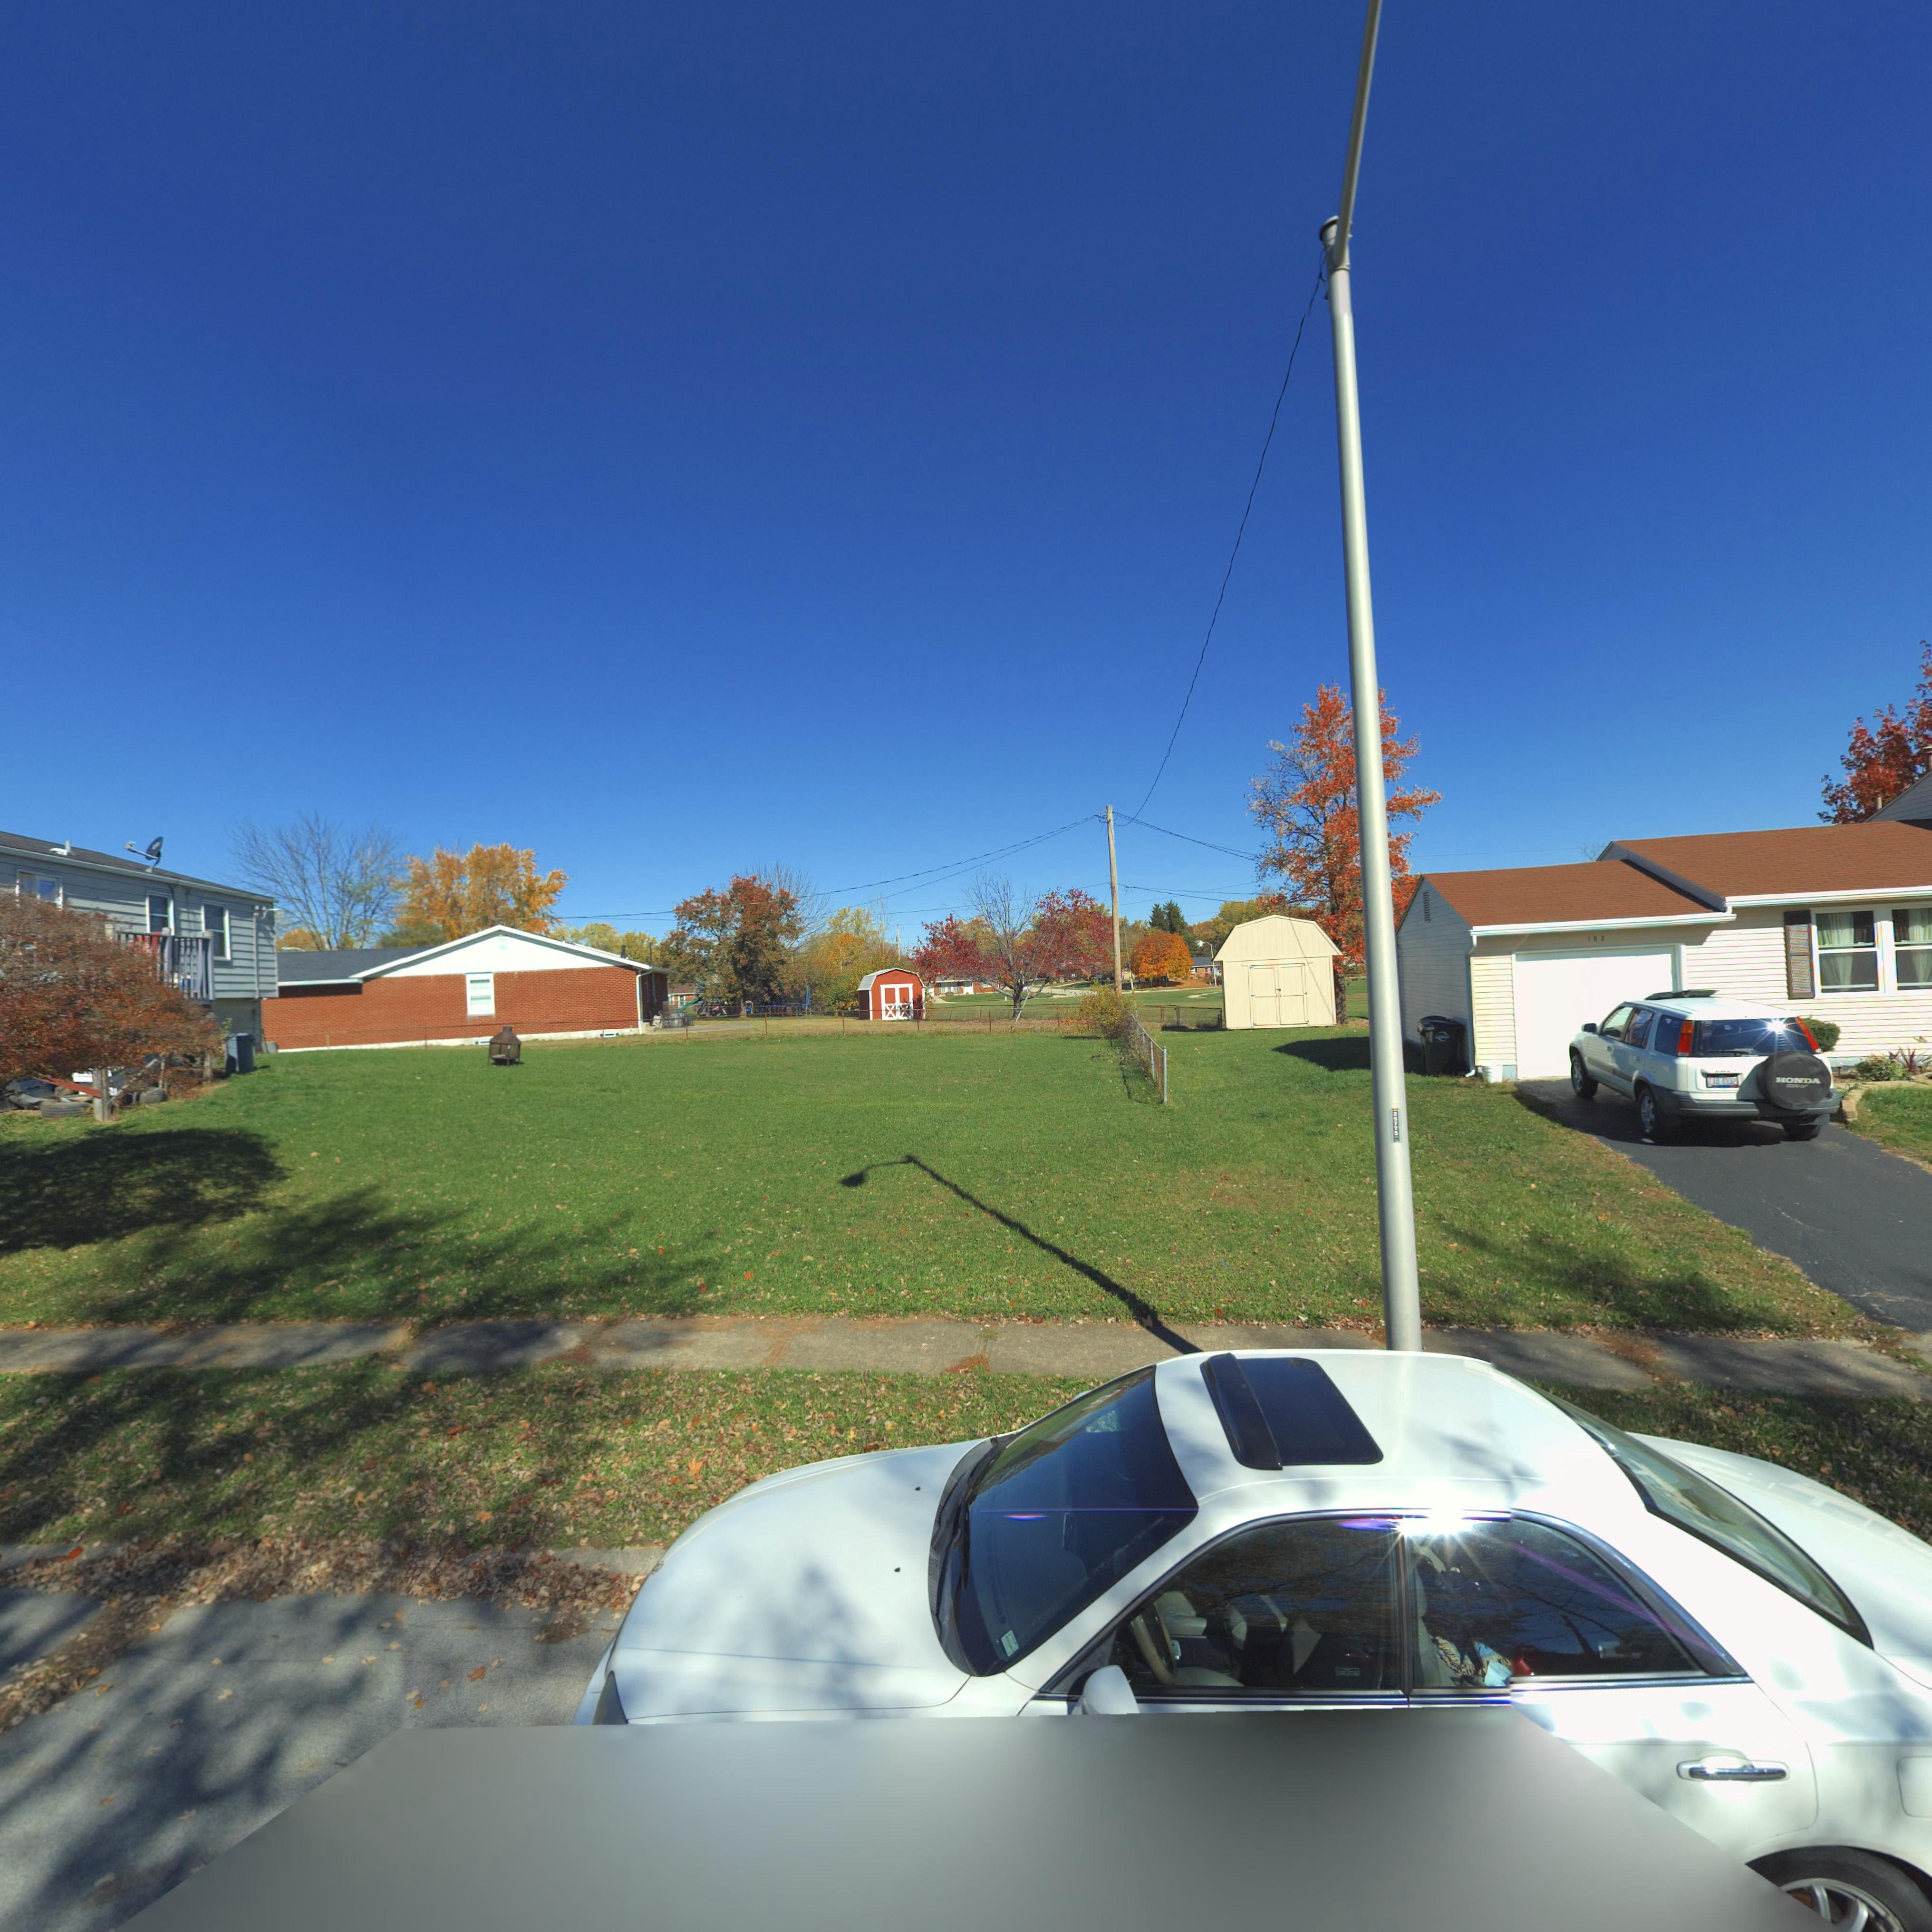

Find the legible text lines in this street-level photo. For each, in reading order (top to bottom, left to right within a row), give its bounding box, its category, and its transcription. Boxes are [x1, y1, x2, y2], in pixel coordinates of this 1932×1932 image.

[1586, 934, 1606, 943] StreetNumber: 102